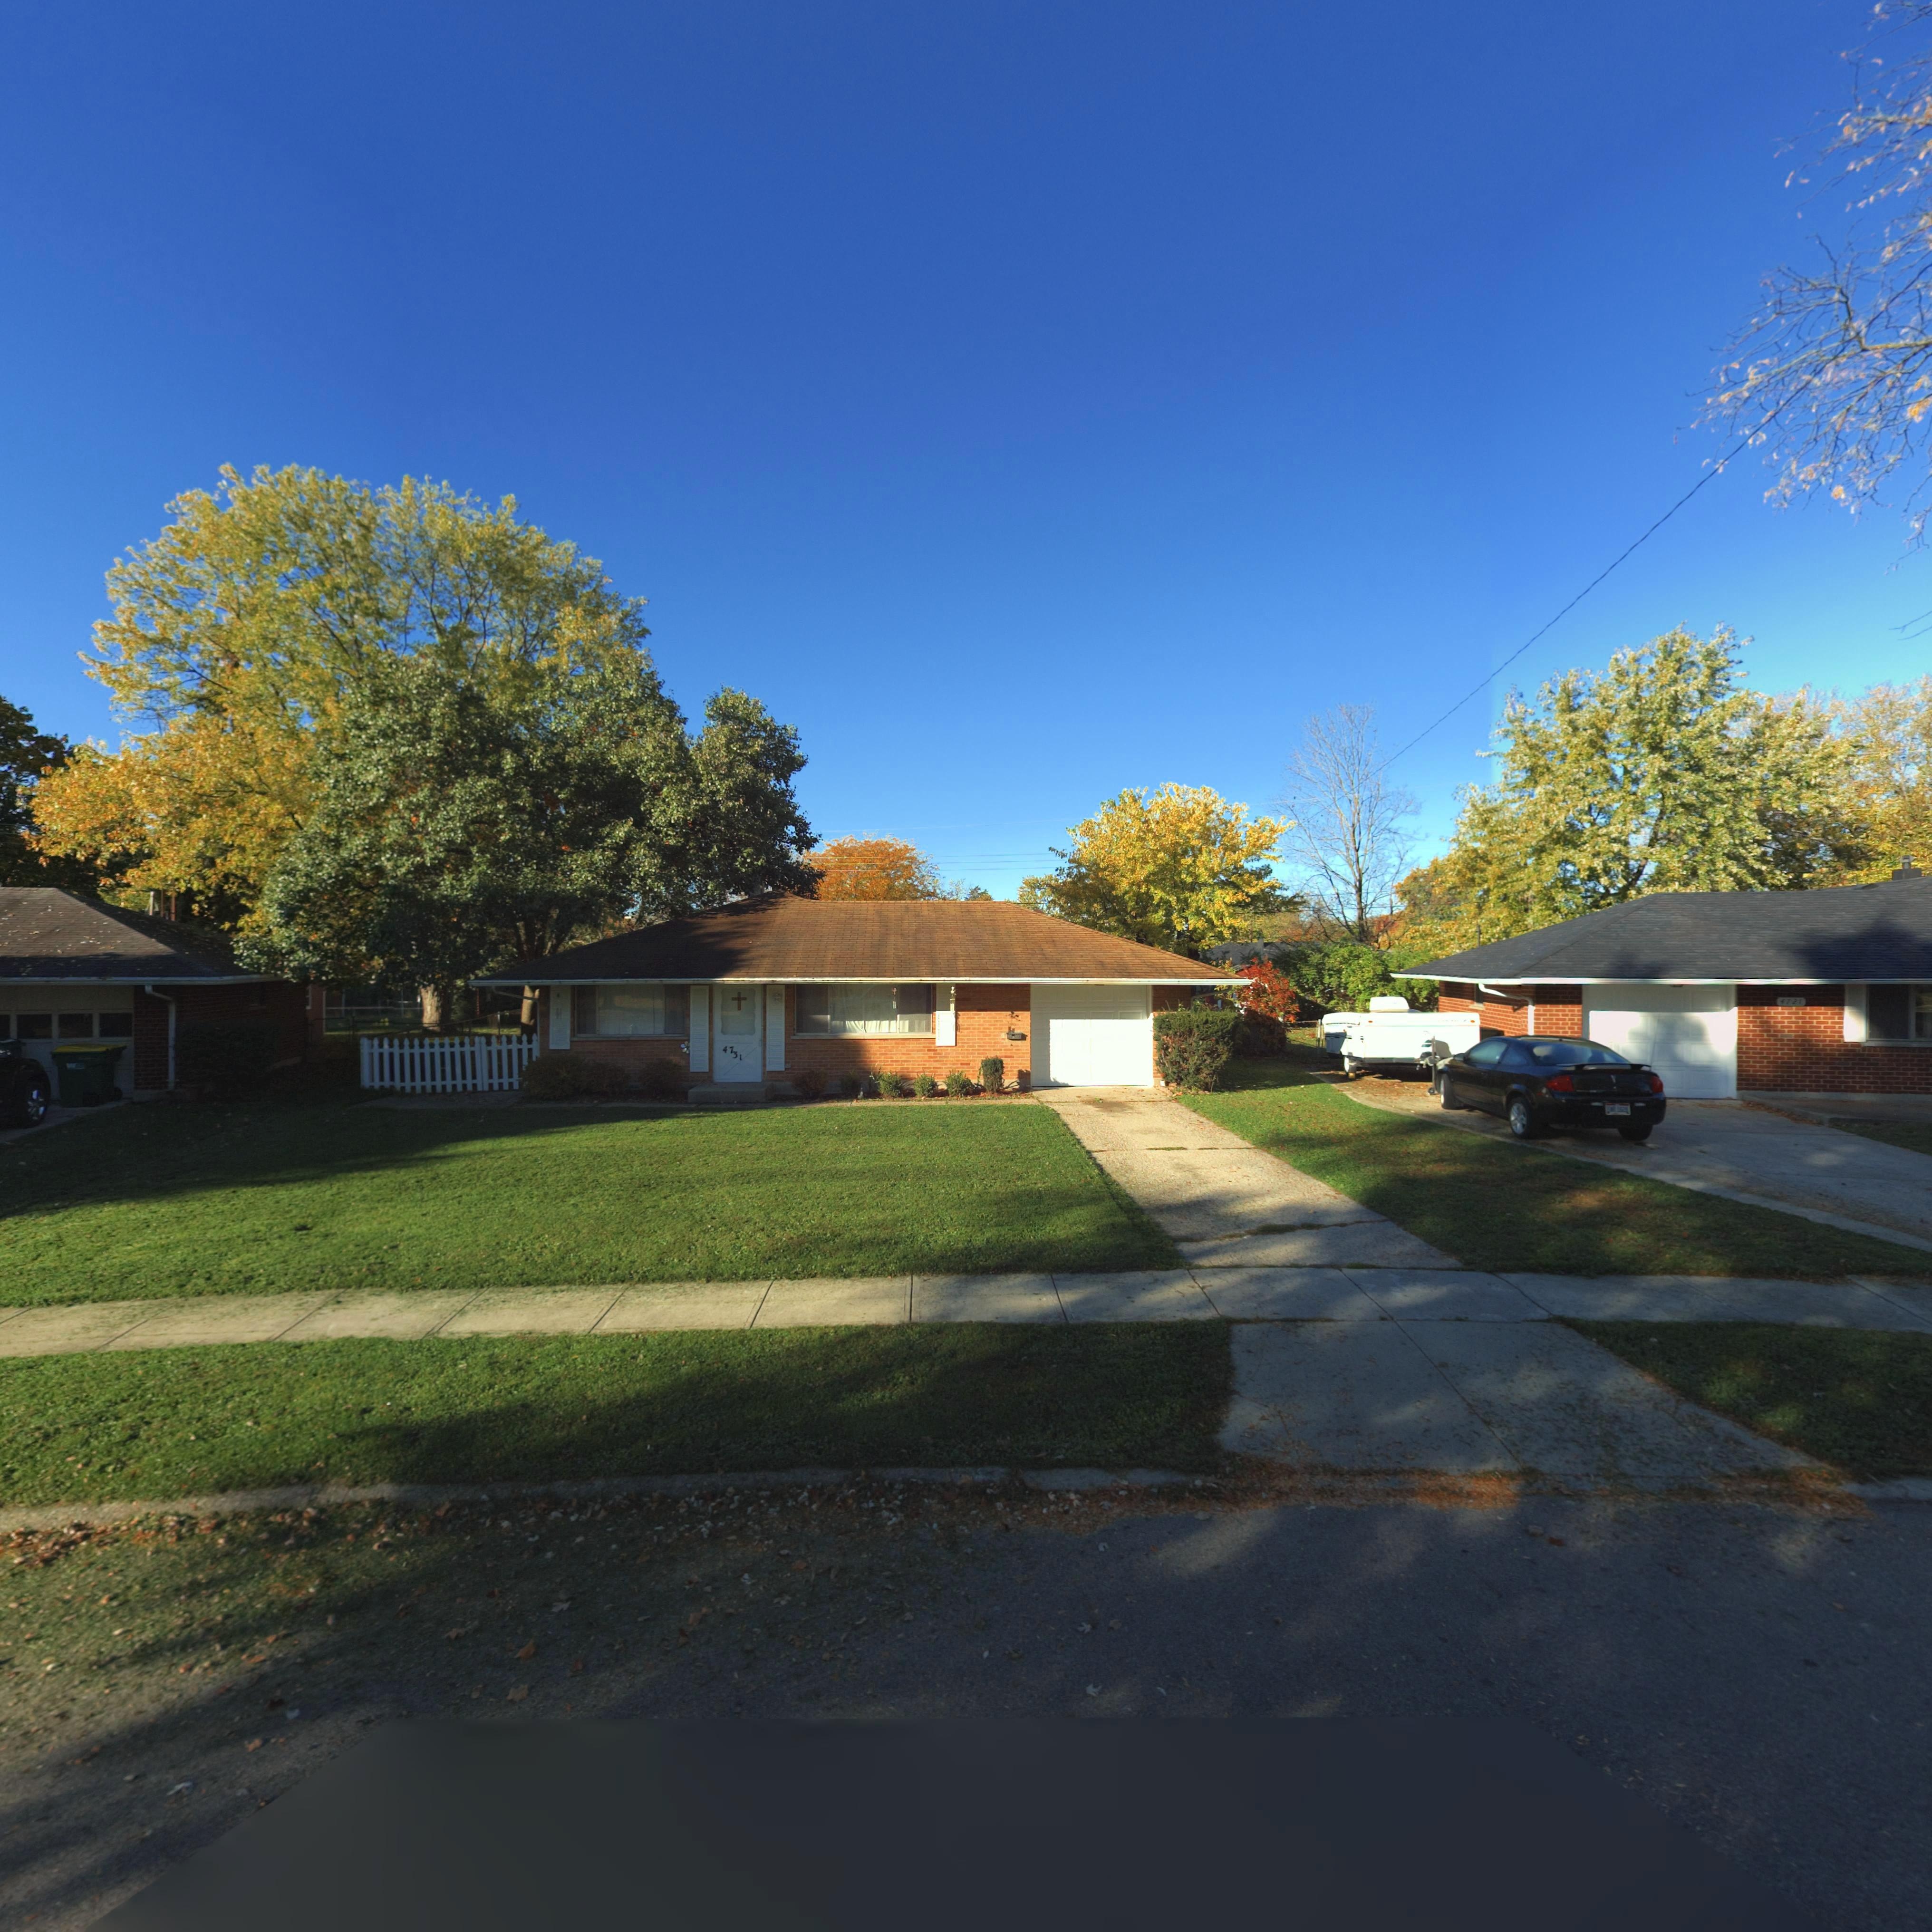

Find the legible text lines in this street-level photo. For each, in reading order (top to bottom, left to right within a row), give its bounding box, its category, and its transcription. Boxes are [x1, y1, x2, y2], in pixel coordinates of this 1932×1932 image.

[1778, 997, 1803, 1006] StreetNumber: 4721
[721, 1044, 744, 1063] StreetNumber: 4731